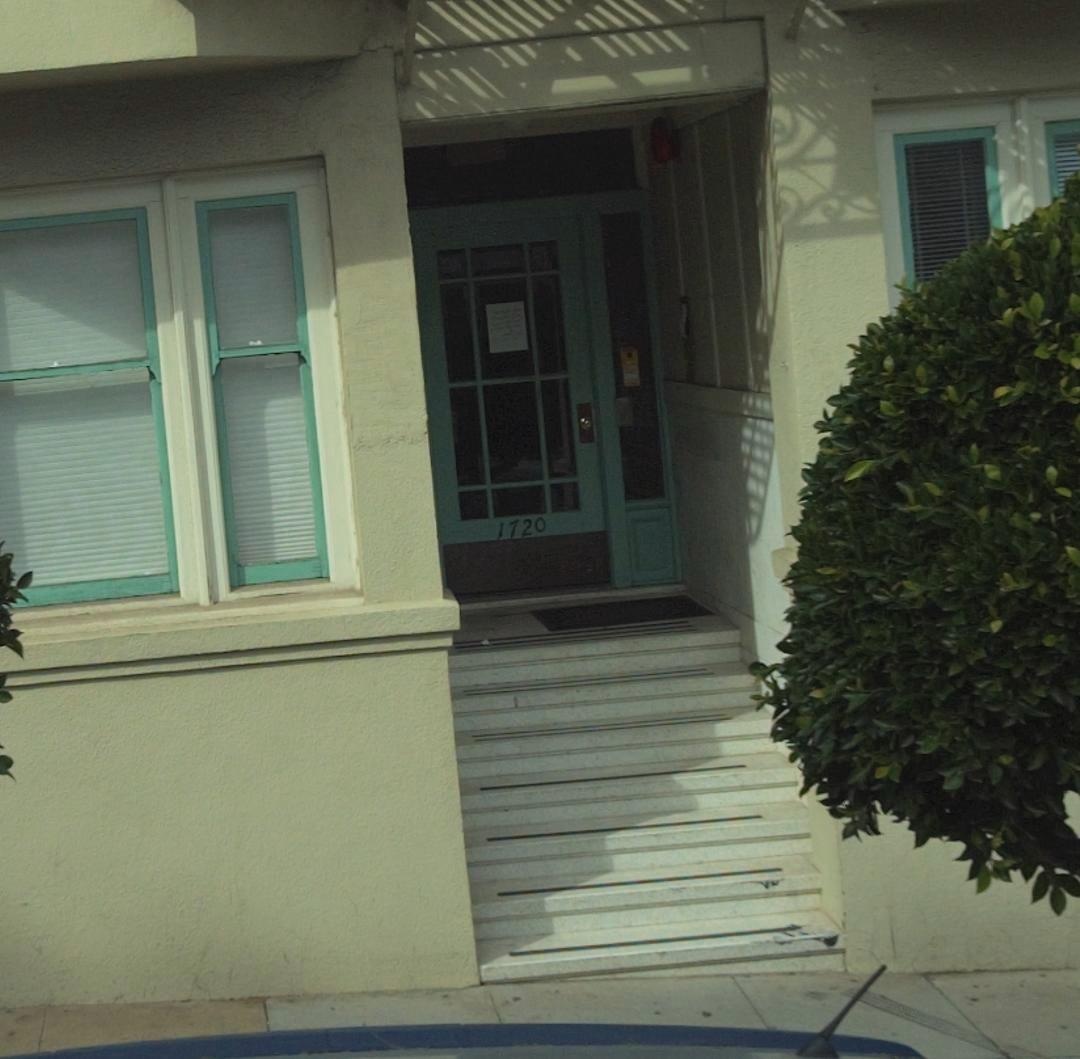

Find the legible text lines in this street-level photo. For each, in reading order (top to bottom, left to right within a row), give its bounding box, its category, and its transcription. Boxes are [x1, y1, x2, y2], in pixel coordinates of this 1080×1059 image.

[496, 514, 548, 541] StreetNumber: 1720